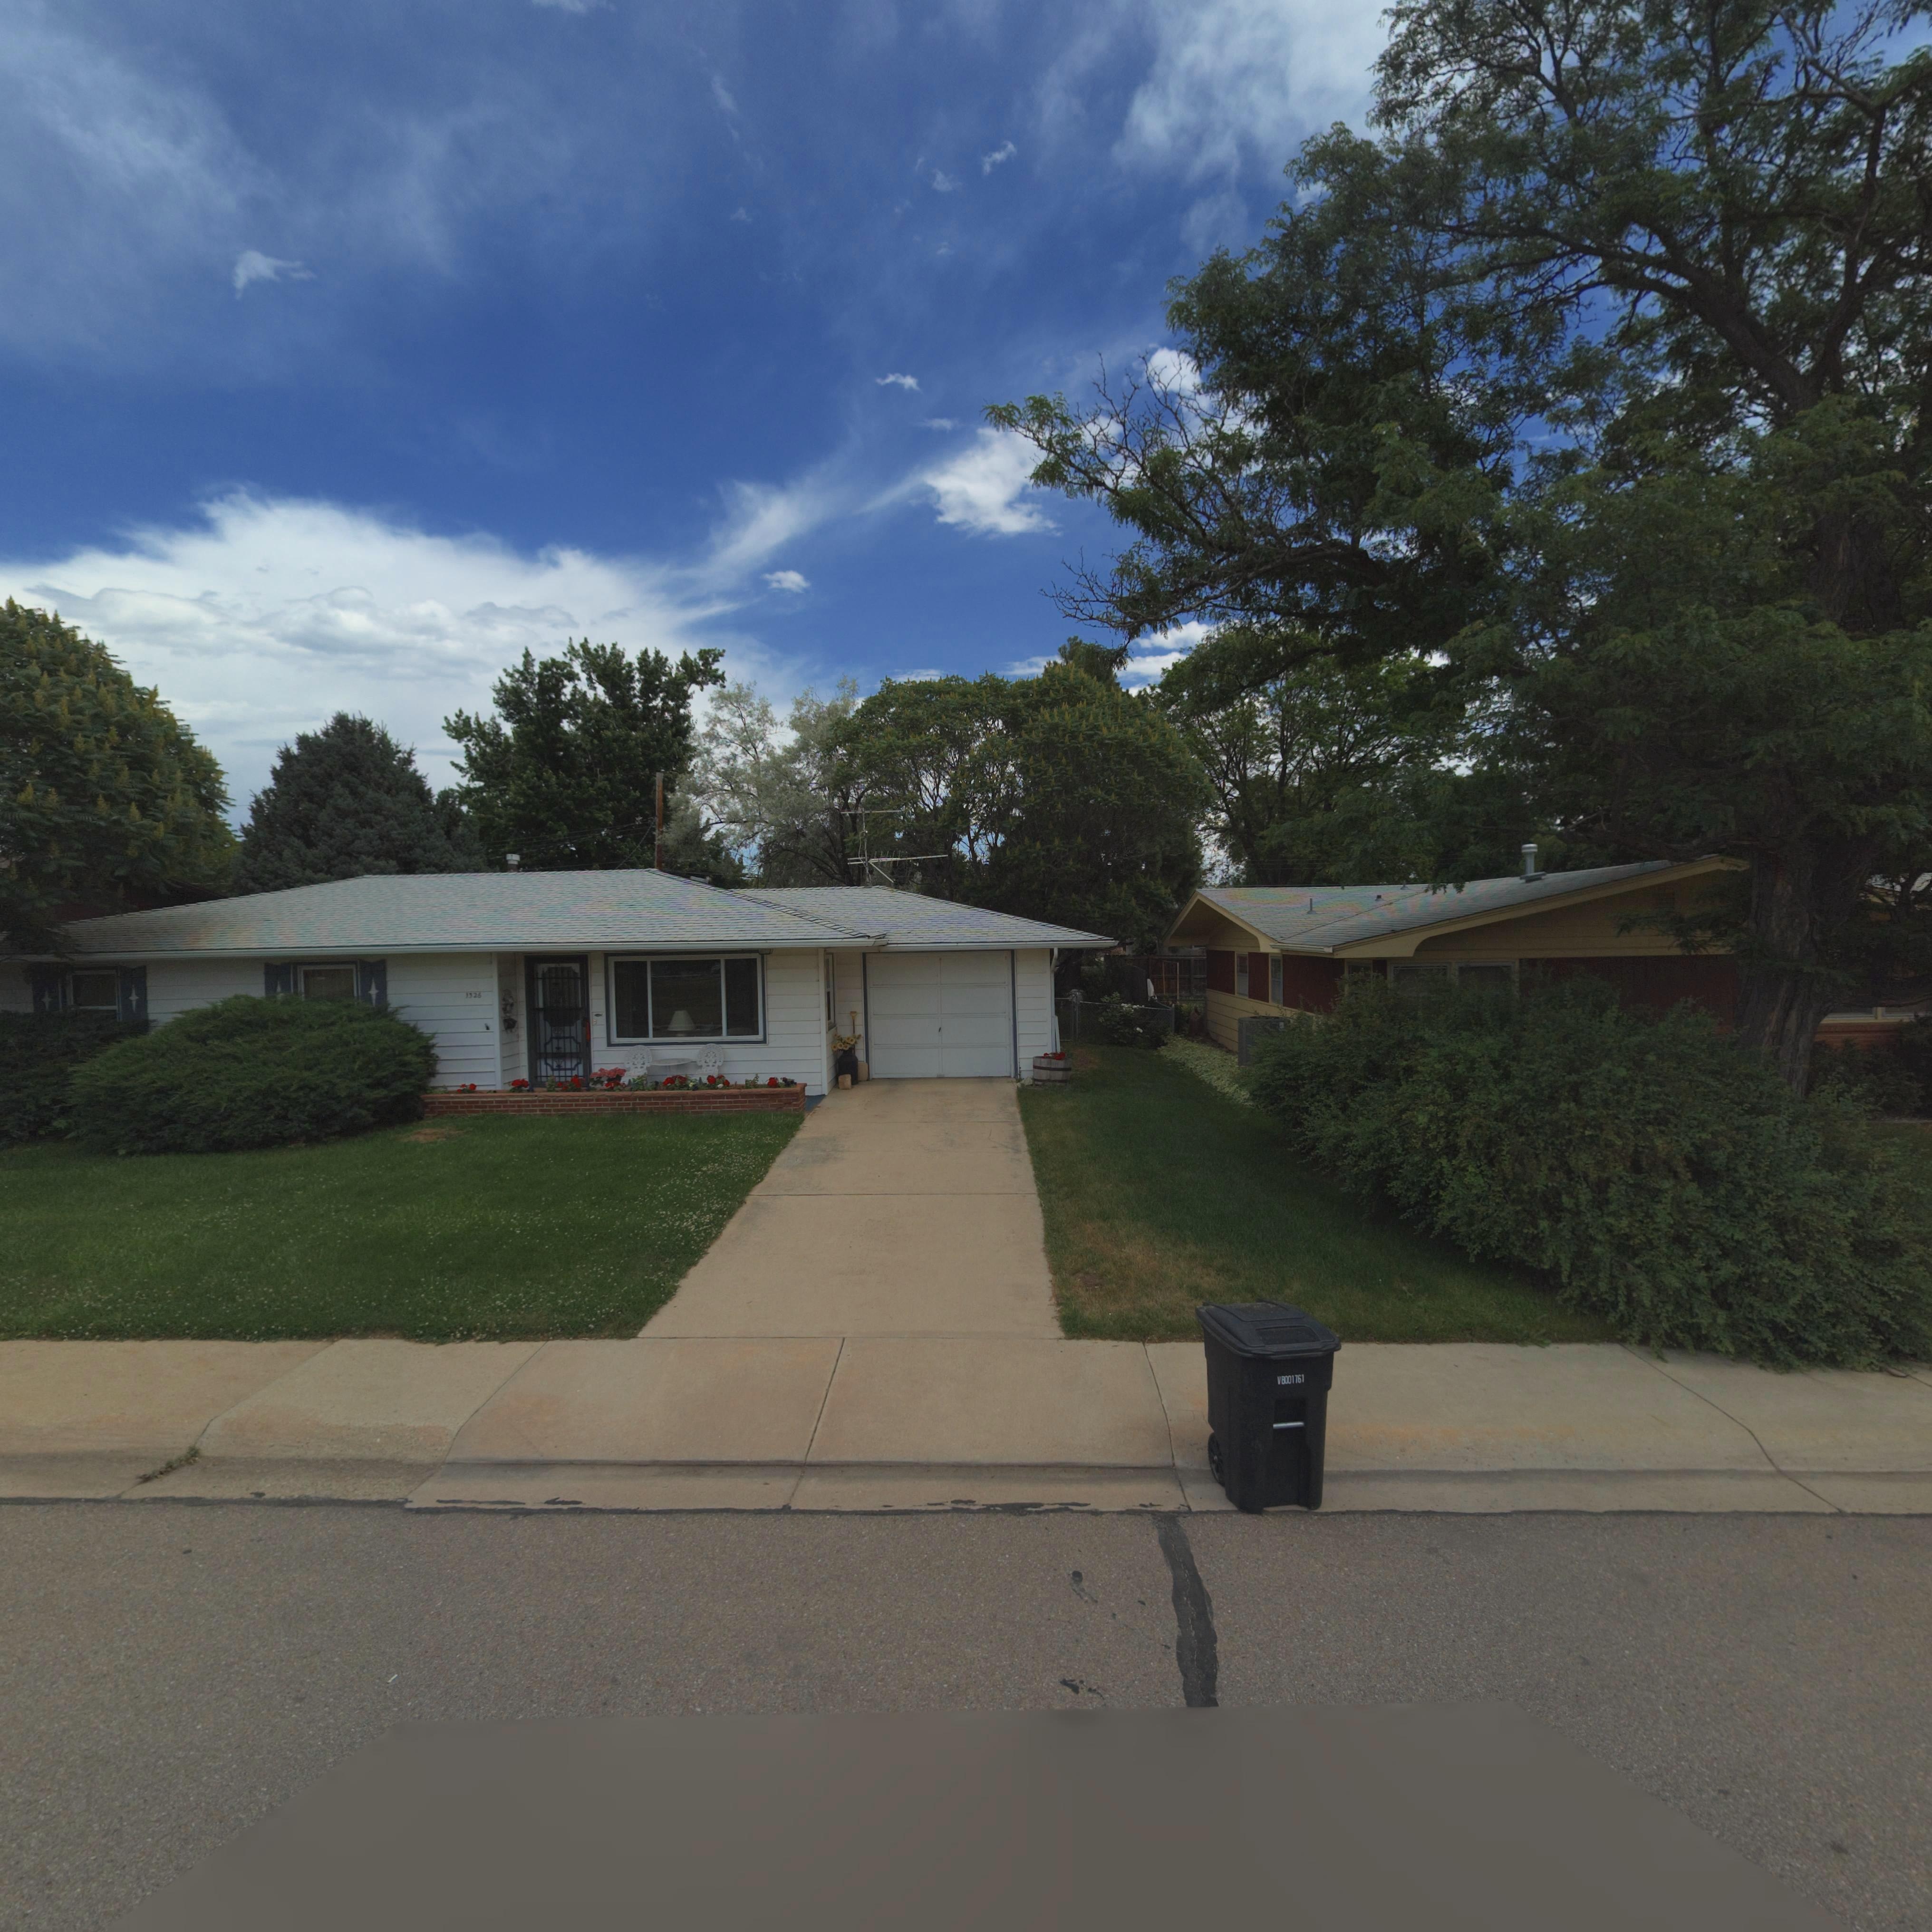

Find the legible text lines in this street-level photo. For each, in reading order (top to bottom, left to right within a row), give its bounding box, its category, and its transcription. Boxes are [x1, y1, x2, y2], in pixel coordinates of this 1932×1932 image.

[465, 992, 482, 998] StreetNumber: 1326